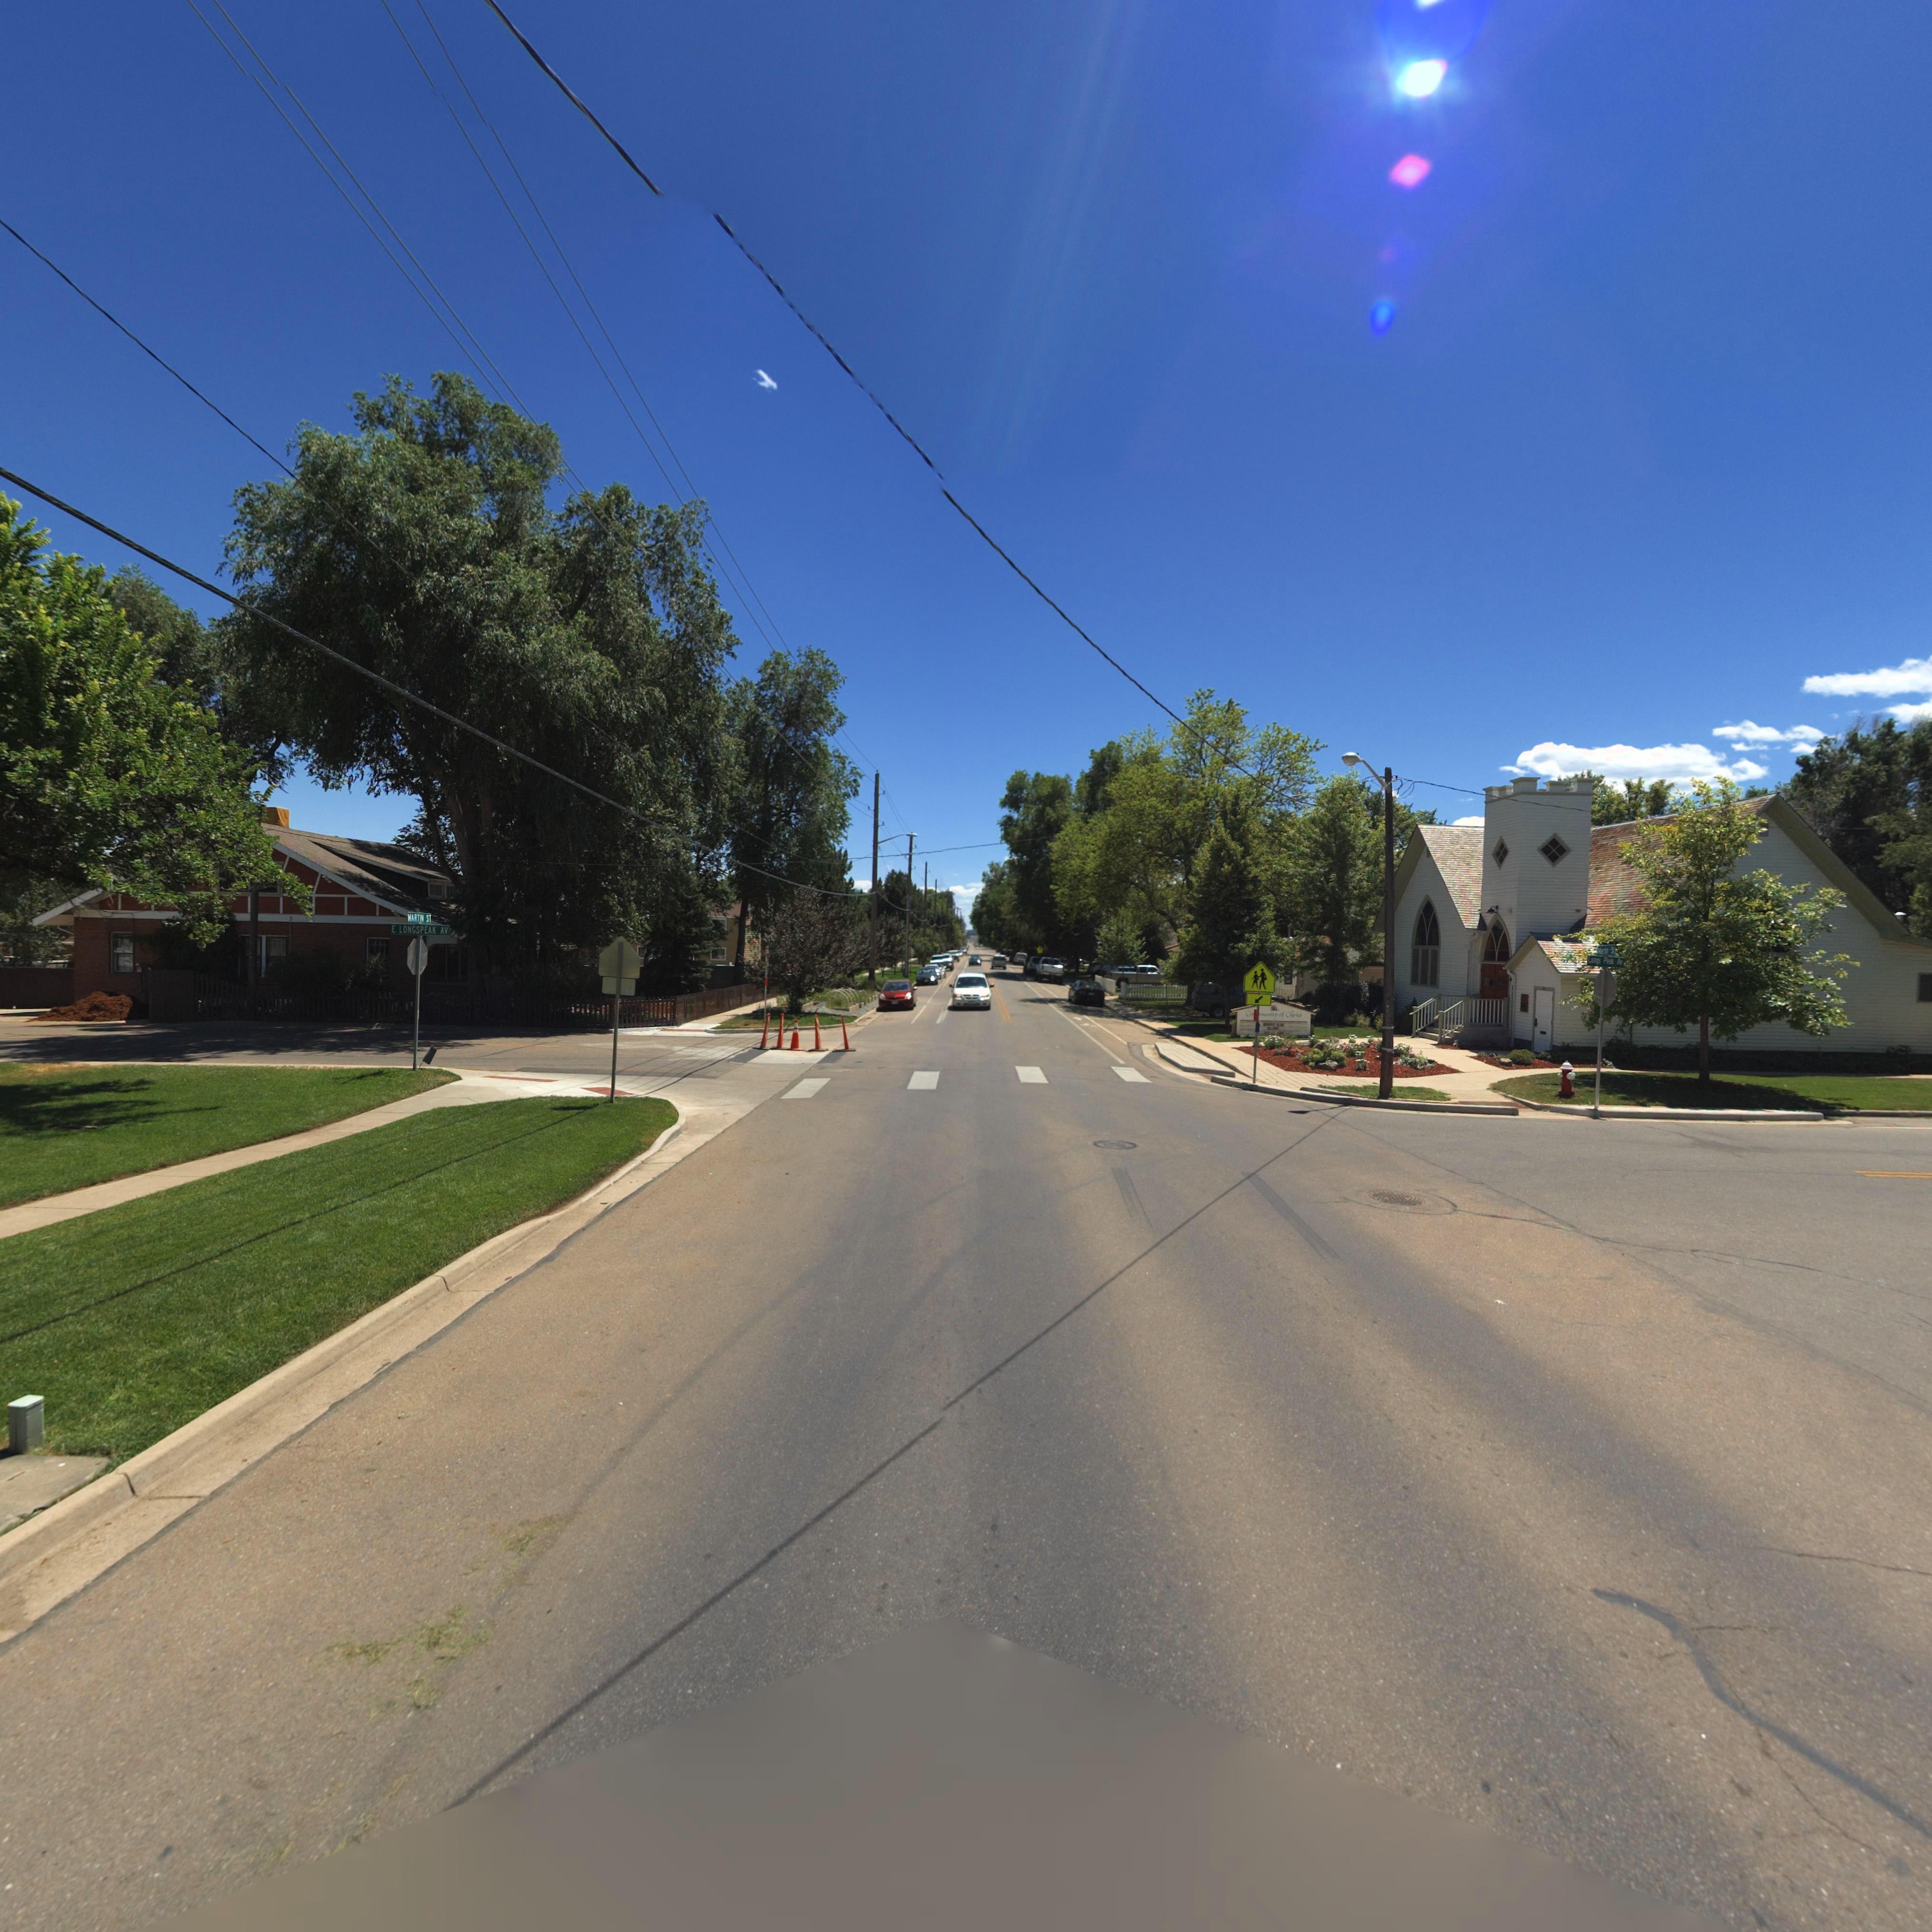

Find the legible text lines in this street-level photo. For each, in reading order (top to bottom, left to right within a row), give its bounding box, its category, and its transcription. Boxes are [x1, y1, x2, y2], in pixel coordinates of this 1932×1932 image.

[407, 913, 431, 923] StreetName: MARTIN ST
[392, 925, 448, 934] StreetName: E LONGSPEAK AV
[1597, 946, 1615, 955] StreetName: Martin S*
[1588, 956, 1623, 966] StreetName: Longs Peak Av
[1245, 1010, 1302, 1019] BusinessName: Co*munity of Christ